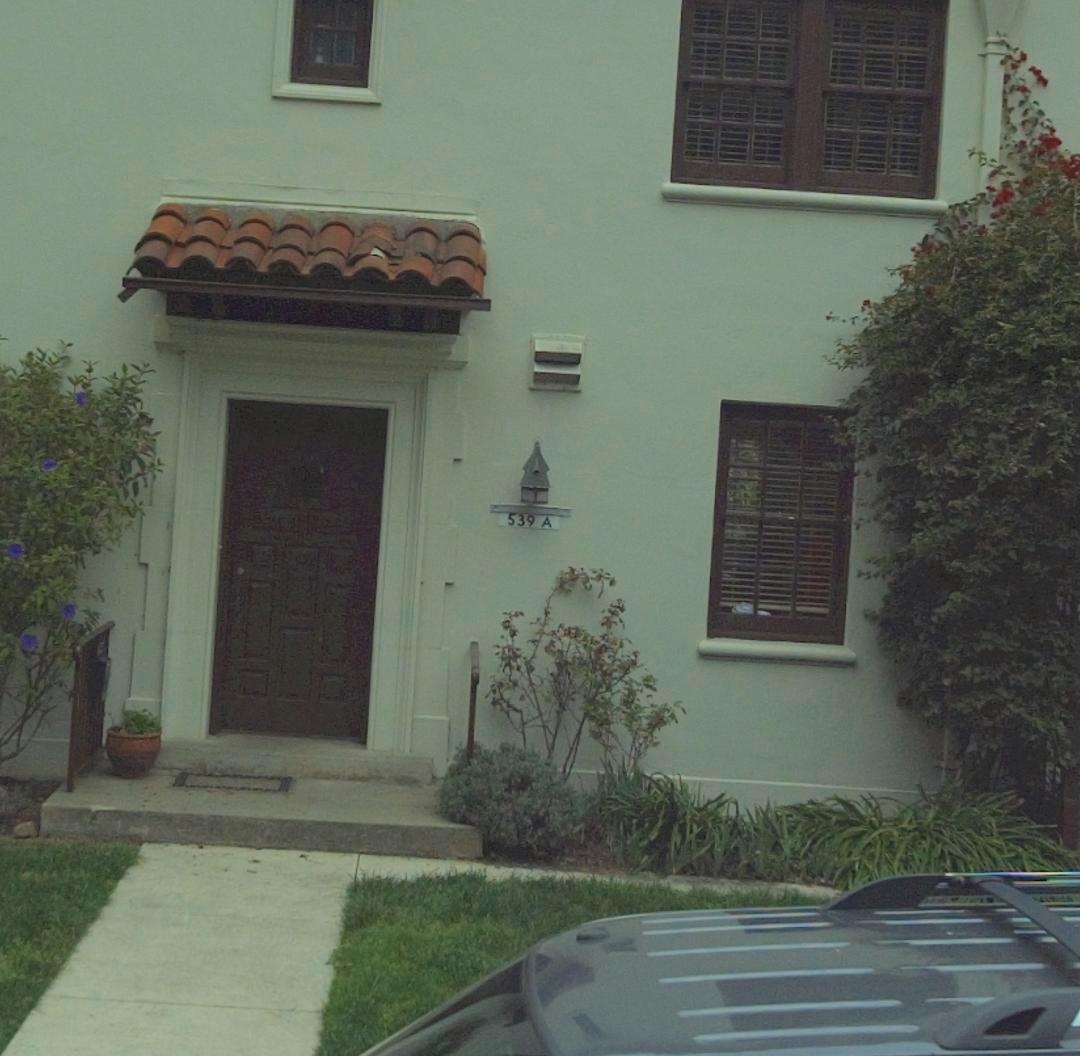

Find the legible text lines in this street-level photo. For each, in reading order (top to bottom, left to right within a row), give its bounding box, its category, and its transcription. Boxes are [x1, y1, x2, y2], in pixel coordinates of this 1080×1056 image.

[507, 511, 553, 530] StreetNumber: 539 A